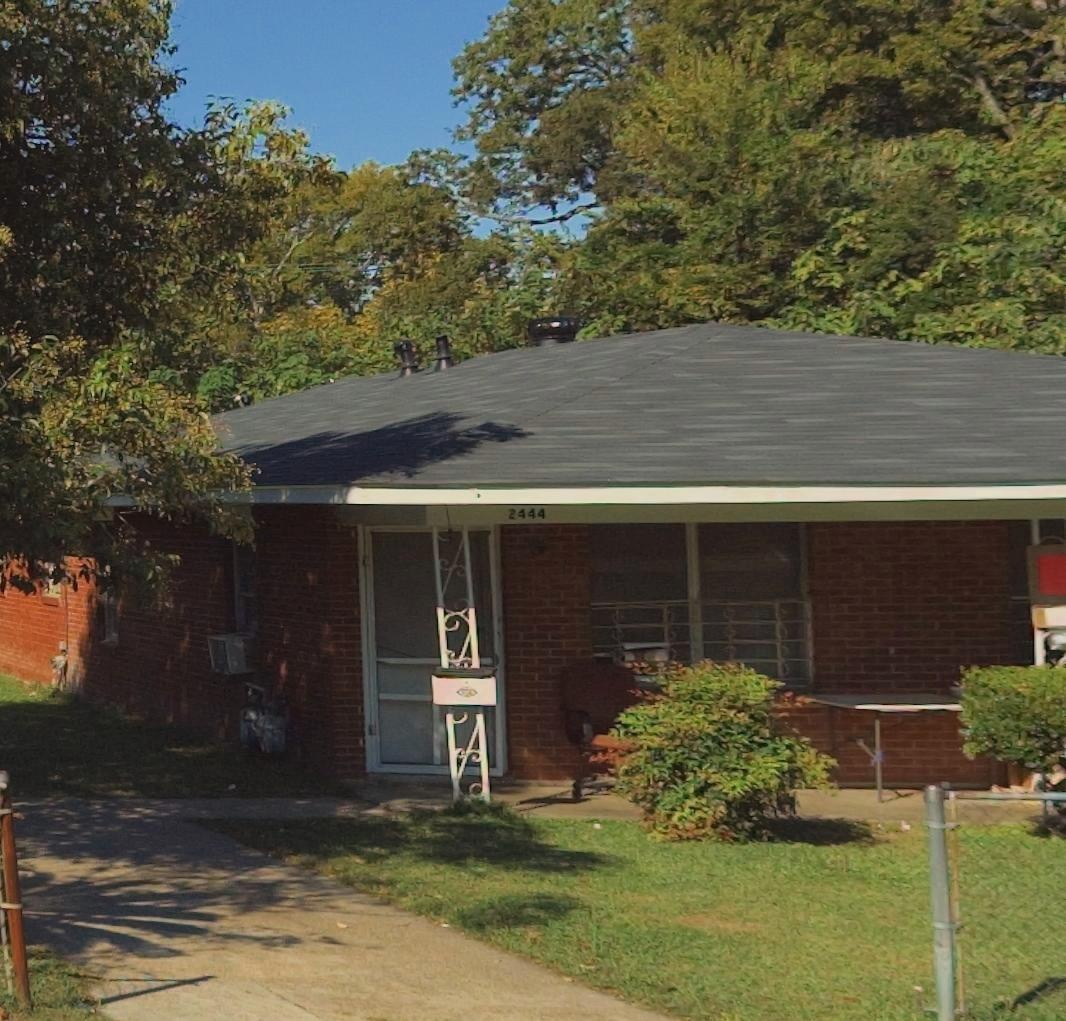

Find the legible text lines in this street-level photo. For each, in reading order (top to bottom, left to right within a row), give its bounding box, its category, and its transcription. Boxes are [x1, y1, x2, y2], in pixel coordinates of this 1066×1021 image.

[505, 505, 549, 522] StreetNumber: 2444